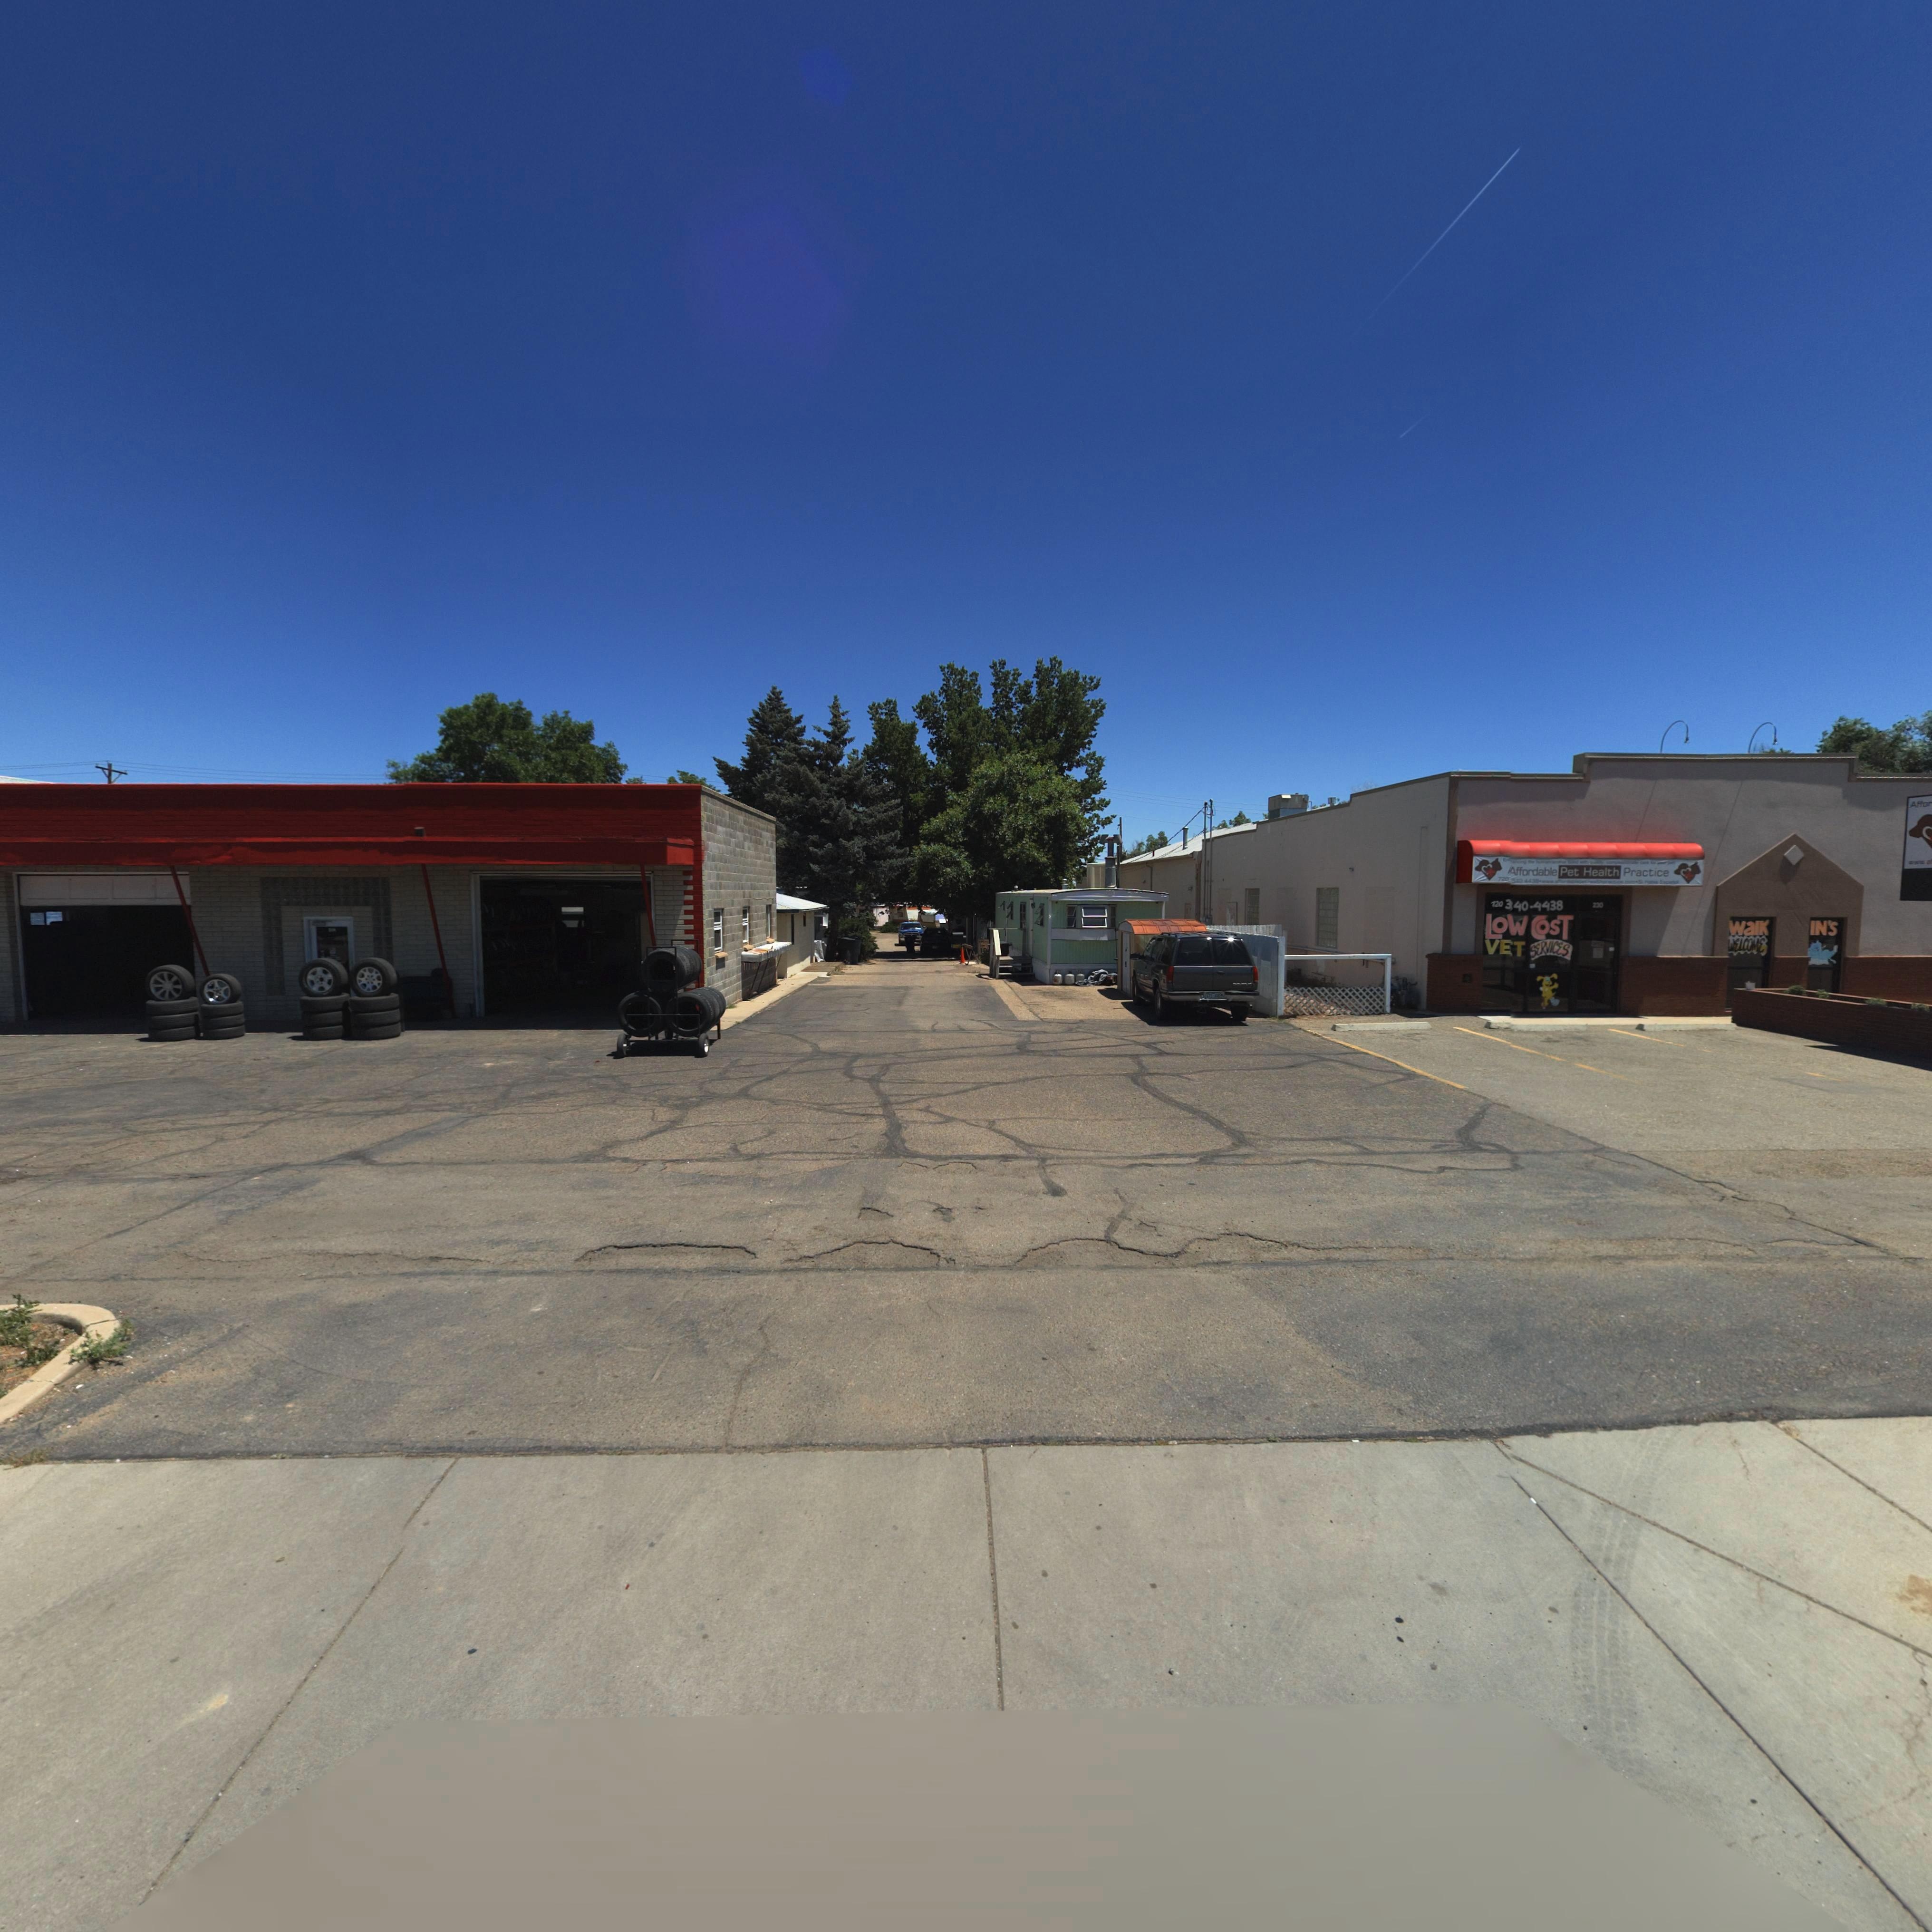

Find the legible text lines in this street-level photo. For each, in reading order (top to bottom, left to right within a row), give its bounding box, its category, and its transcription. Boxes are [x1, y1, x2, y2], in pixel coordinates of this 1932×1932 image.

[1909, 800, 1928, 807] BusinessName: Affo
[1507, 866, 1669, 877] BusinessName: Affordable Pet Health Practice
[1592, 902, 1604, 908] StreetNumber: 230